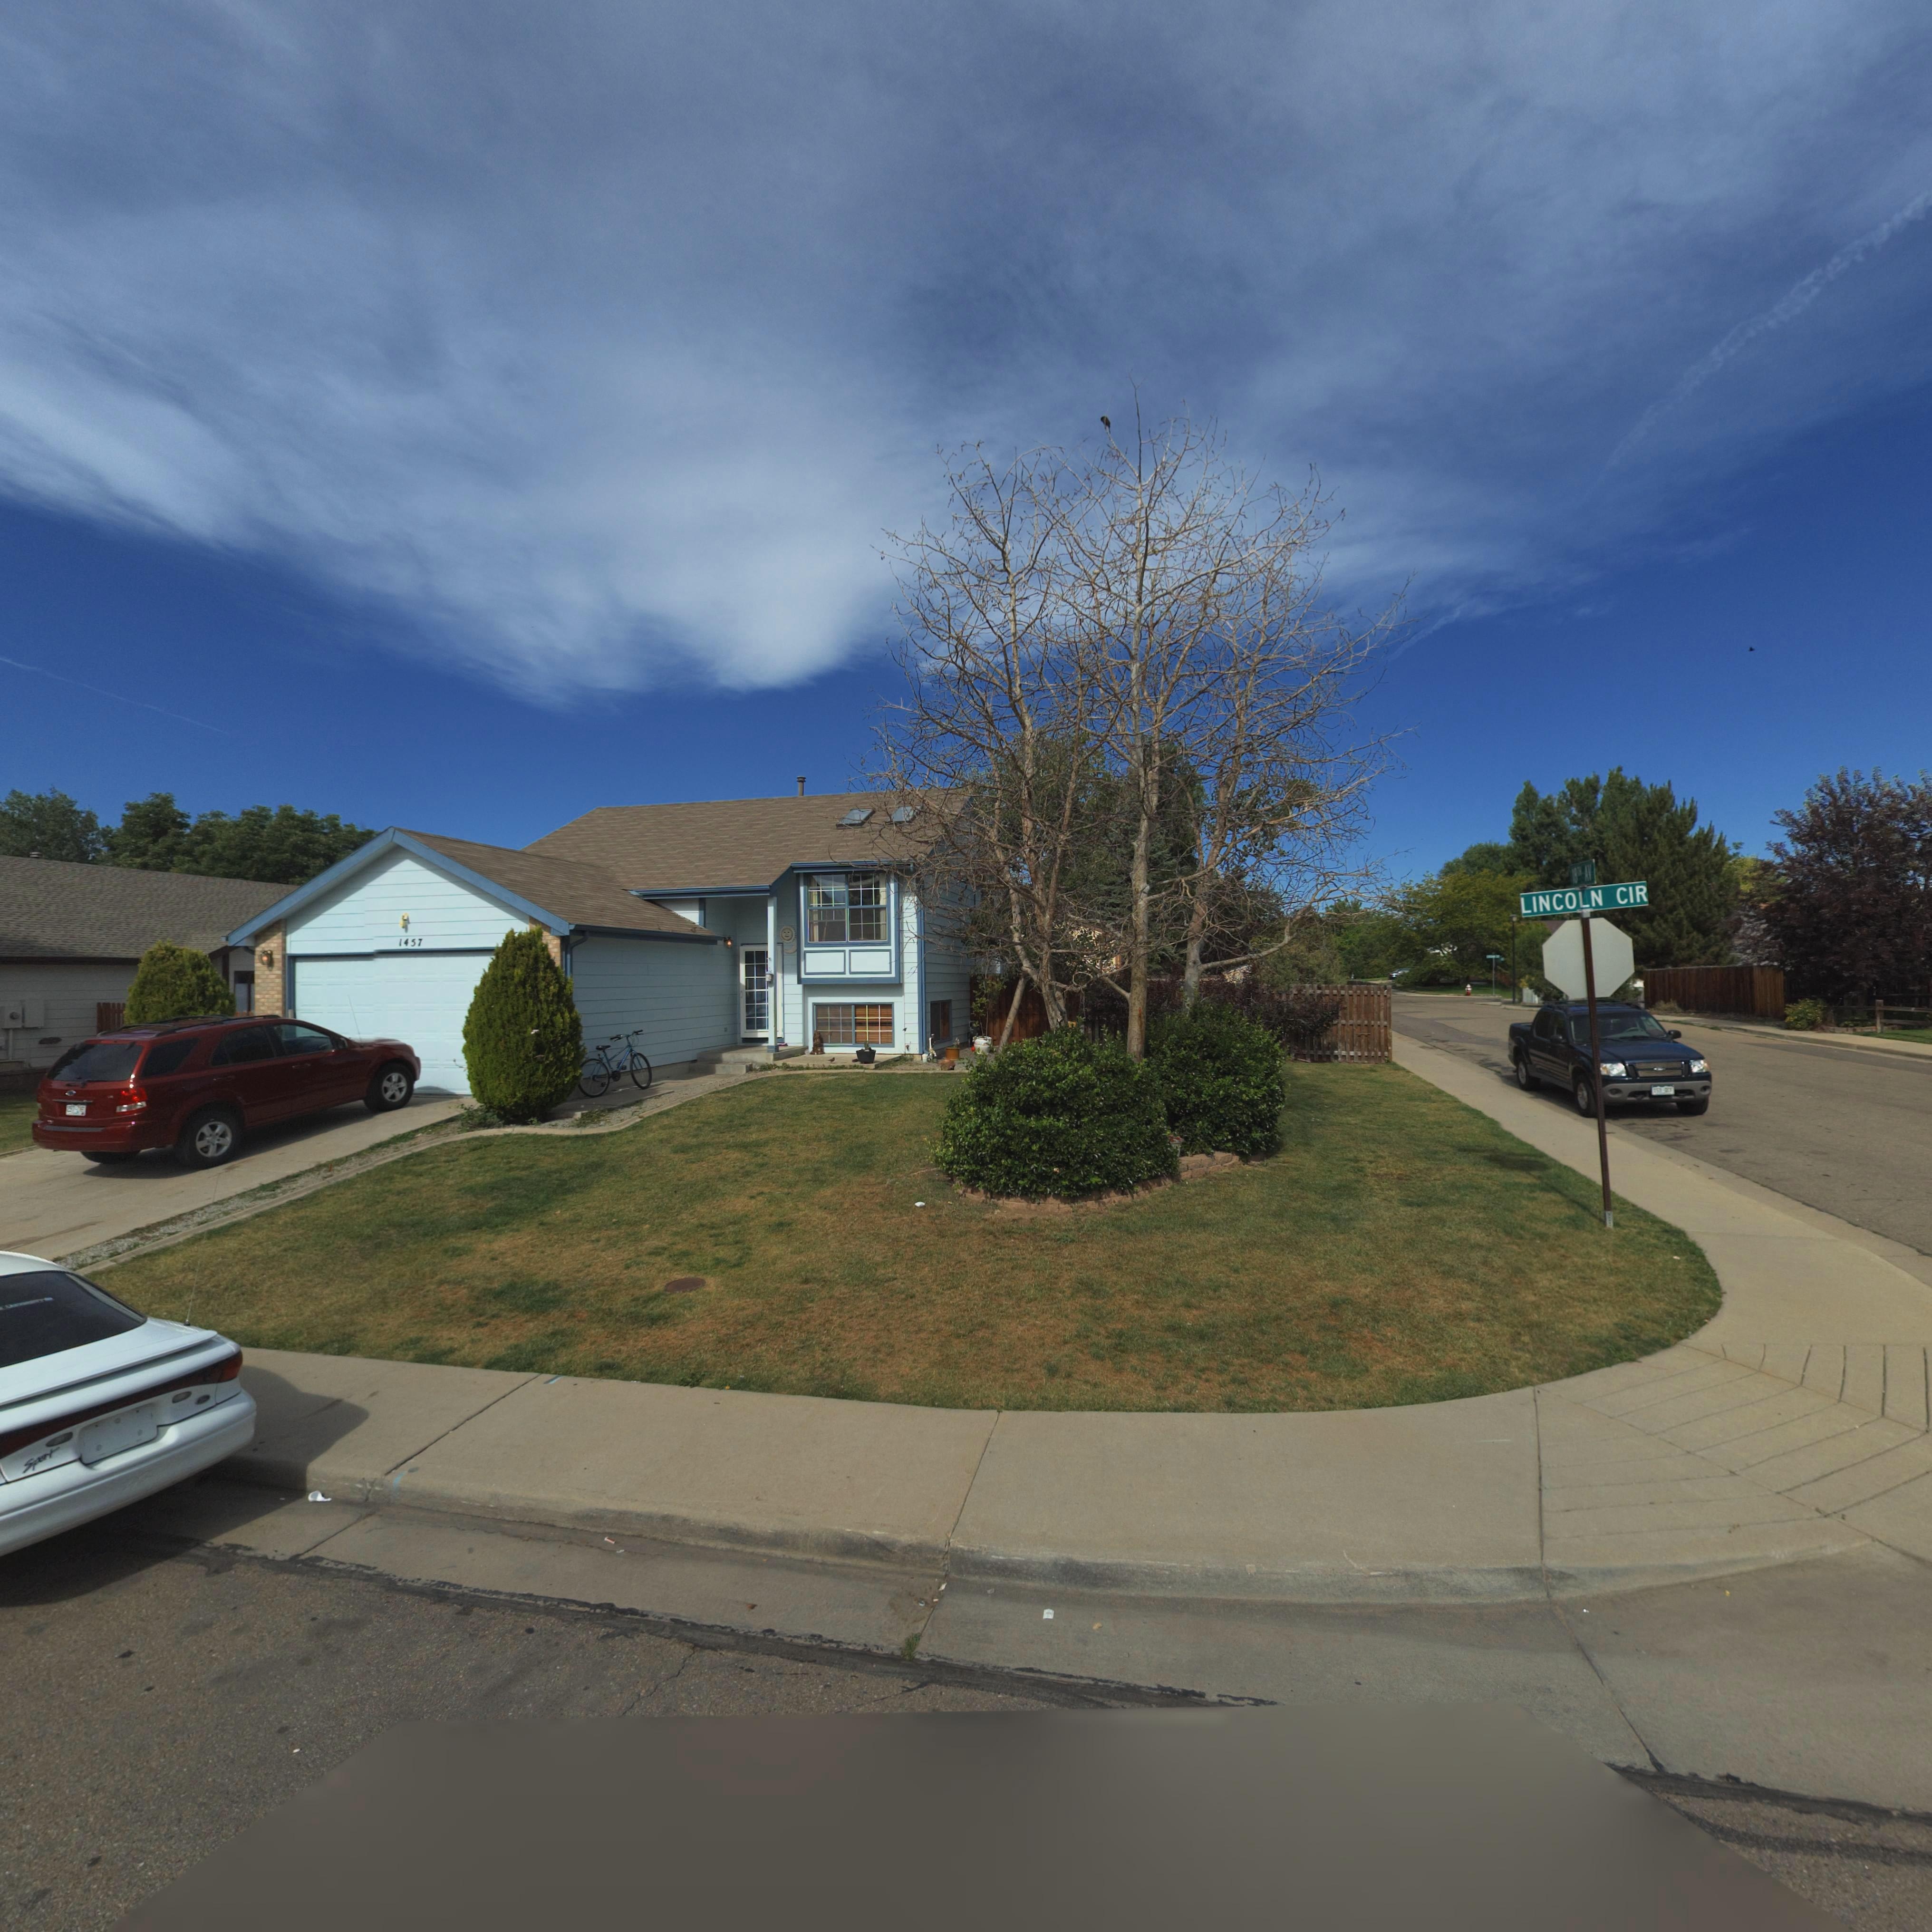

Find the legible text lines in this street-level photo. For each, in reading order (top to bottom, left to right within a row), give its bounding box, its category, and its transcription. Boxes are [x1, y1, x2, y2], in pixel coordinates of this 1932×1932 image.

[1571, 863, 1592, 884] StreetName: 18TH AV
[1520, 884, 1649, 914] StreetName: LINCOLN CIR
[398, 937, 424, 947] StreetNumber: 1457